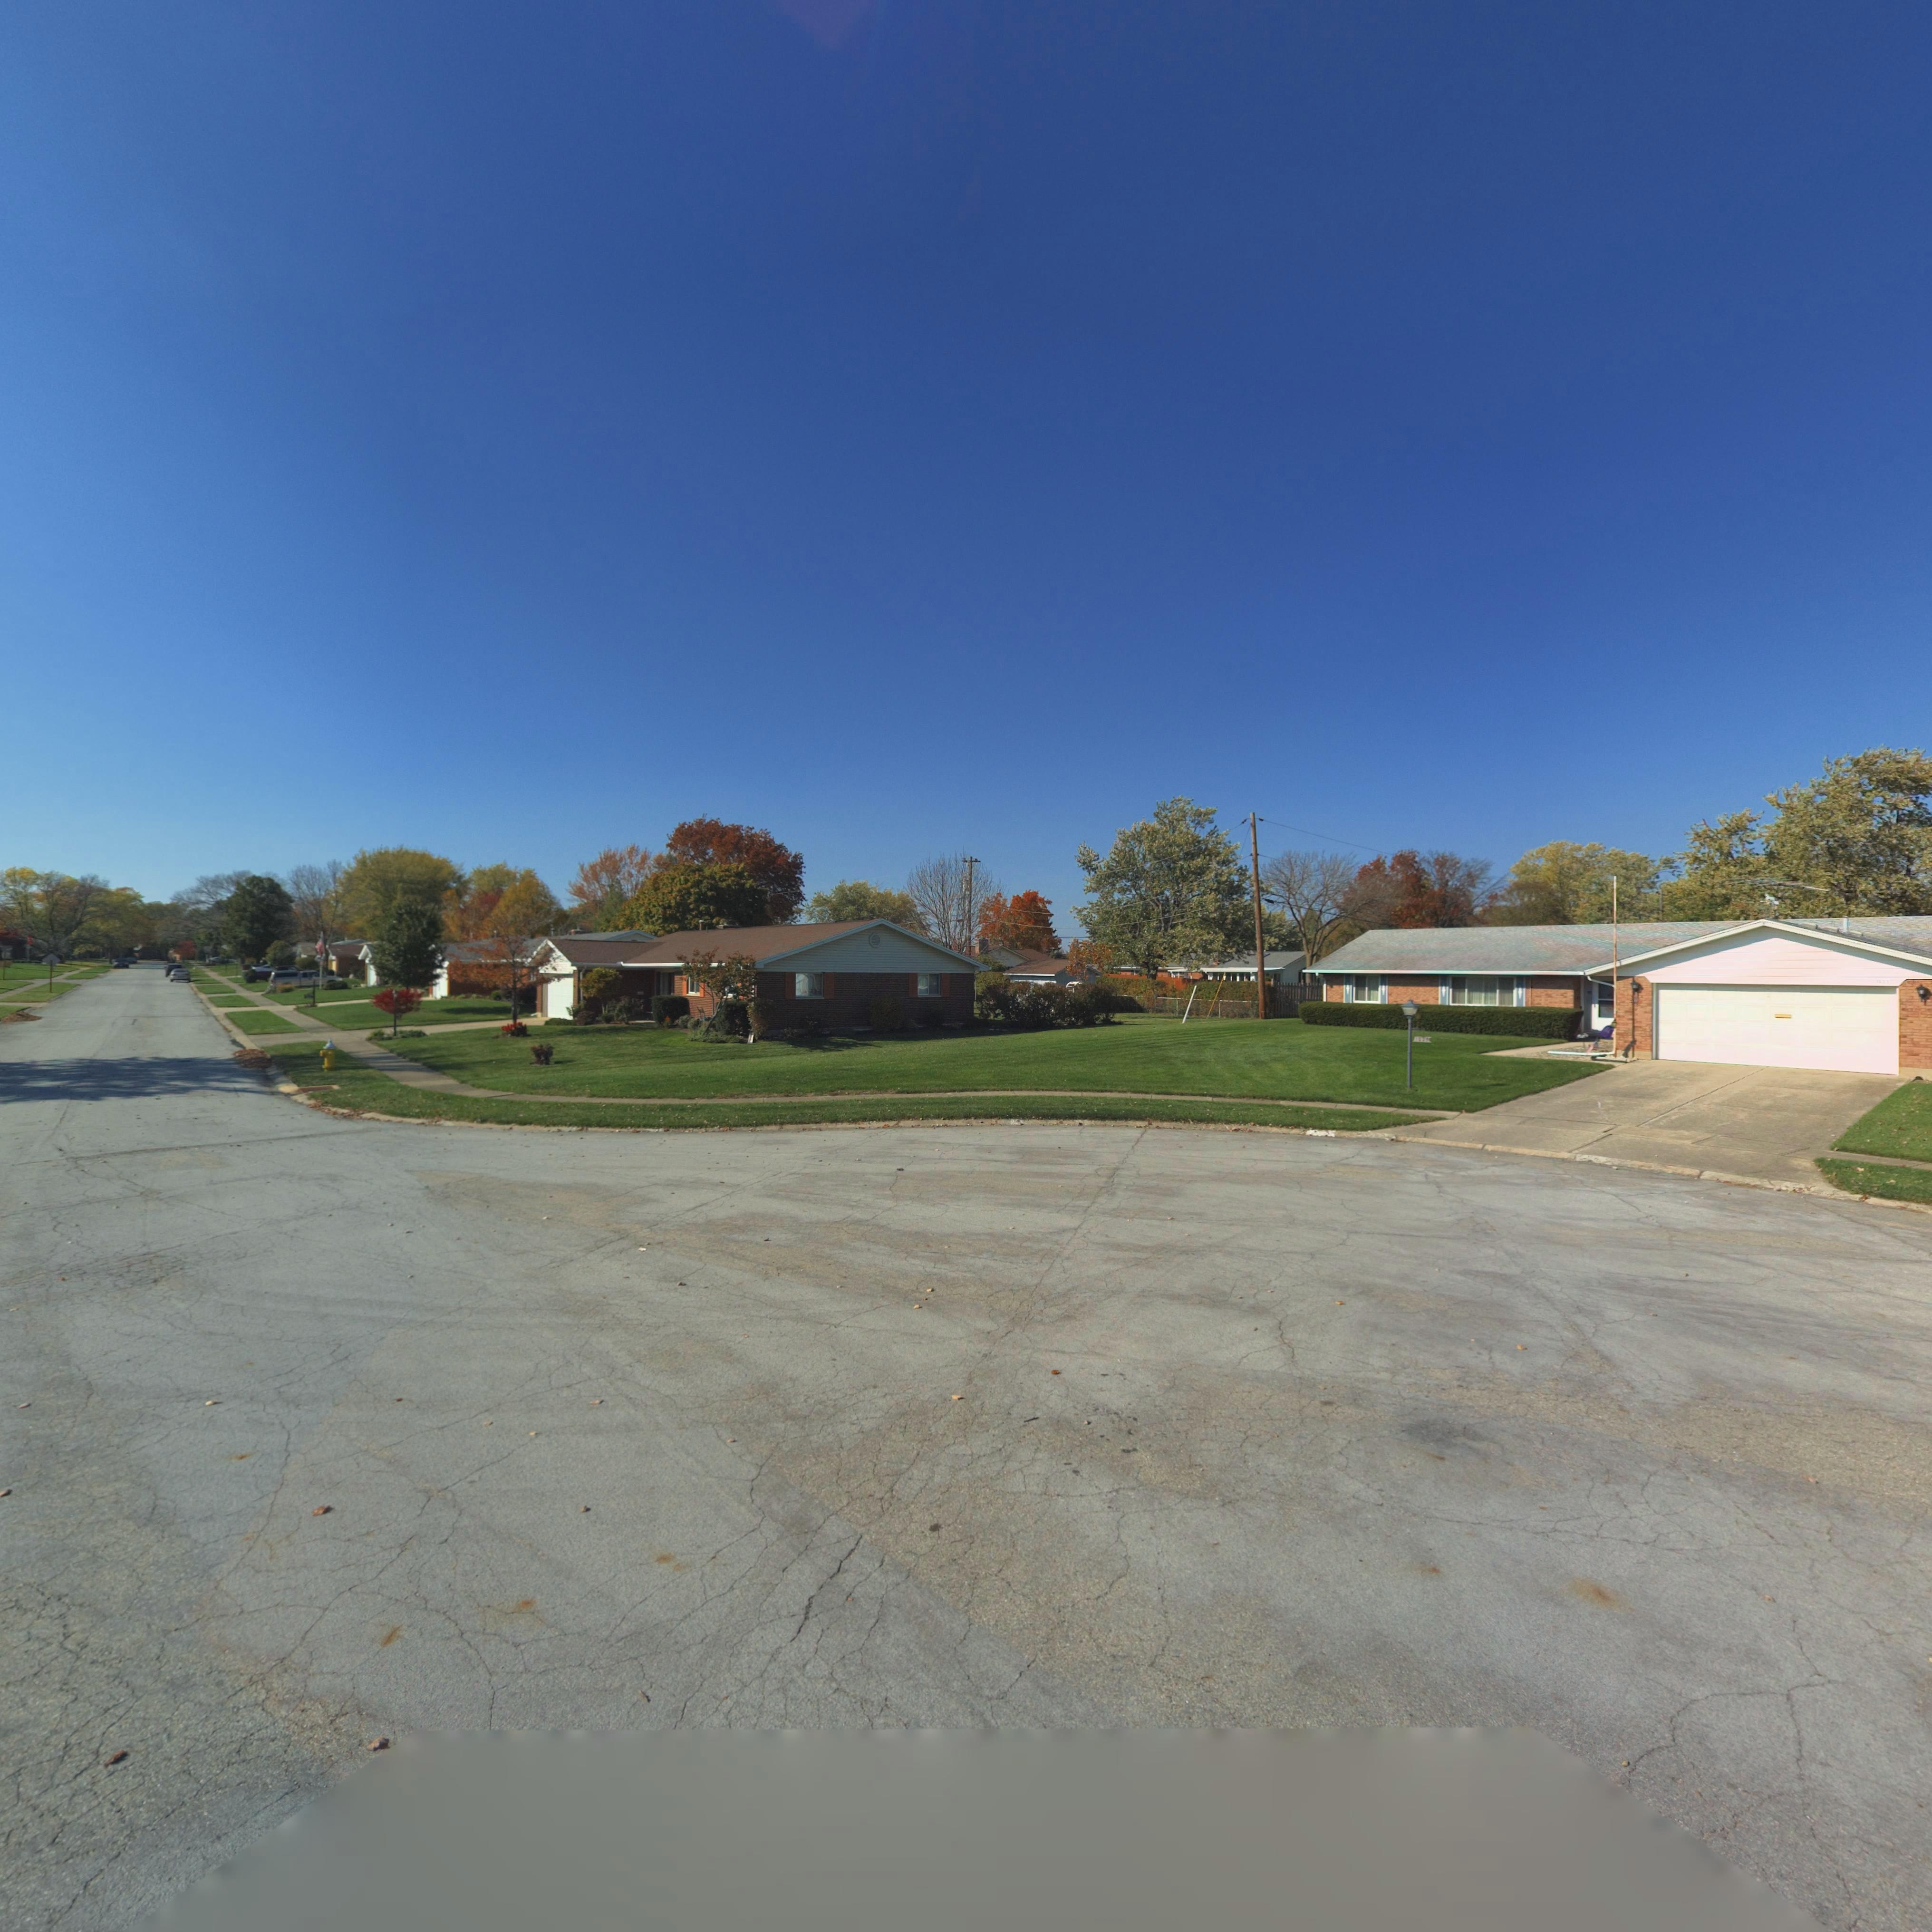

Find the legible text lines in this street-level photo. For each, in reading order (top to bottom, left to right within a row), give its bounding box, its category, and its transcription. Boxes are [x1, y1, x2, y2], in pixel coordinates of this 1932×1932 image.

[1415, 1037, 1429, 1042] StreetNumber: 1025